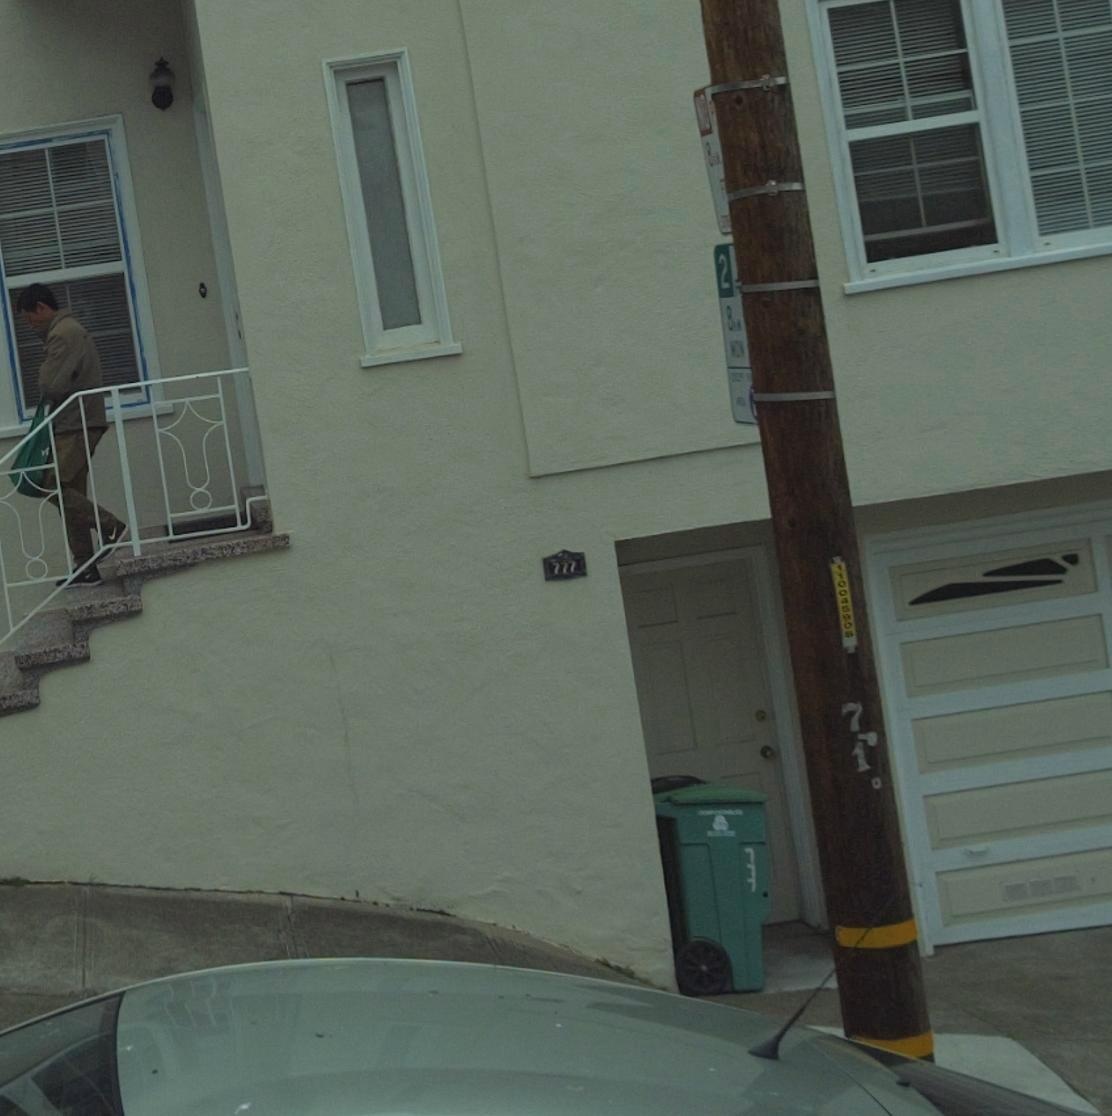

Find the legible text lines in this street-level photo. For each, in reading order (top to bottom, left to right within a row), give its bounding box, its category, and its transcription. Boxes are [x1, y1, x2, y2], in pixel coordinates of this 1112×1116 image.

[691, 93, 717, 133] None: NO P
[703, 140, 715, 168] None: 8
[716, 252, 731, 291] None: 2
[724, 304, 734, 333] None: 8
[733, 318, 743, 332] None: A.M.
[728, 338, 747, 360] None: MON
[550, 558, 579, 577] StreetNumber: 777
[832, 562, 856, 640] None: 110045908
[838, 699, 864, 735] None: 7
[849, 740, 874, 775] None: 1